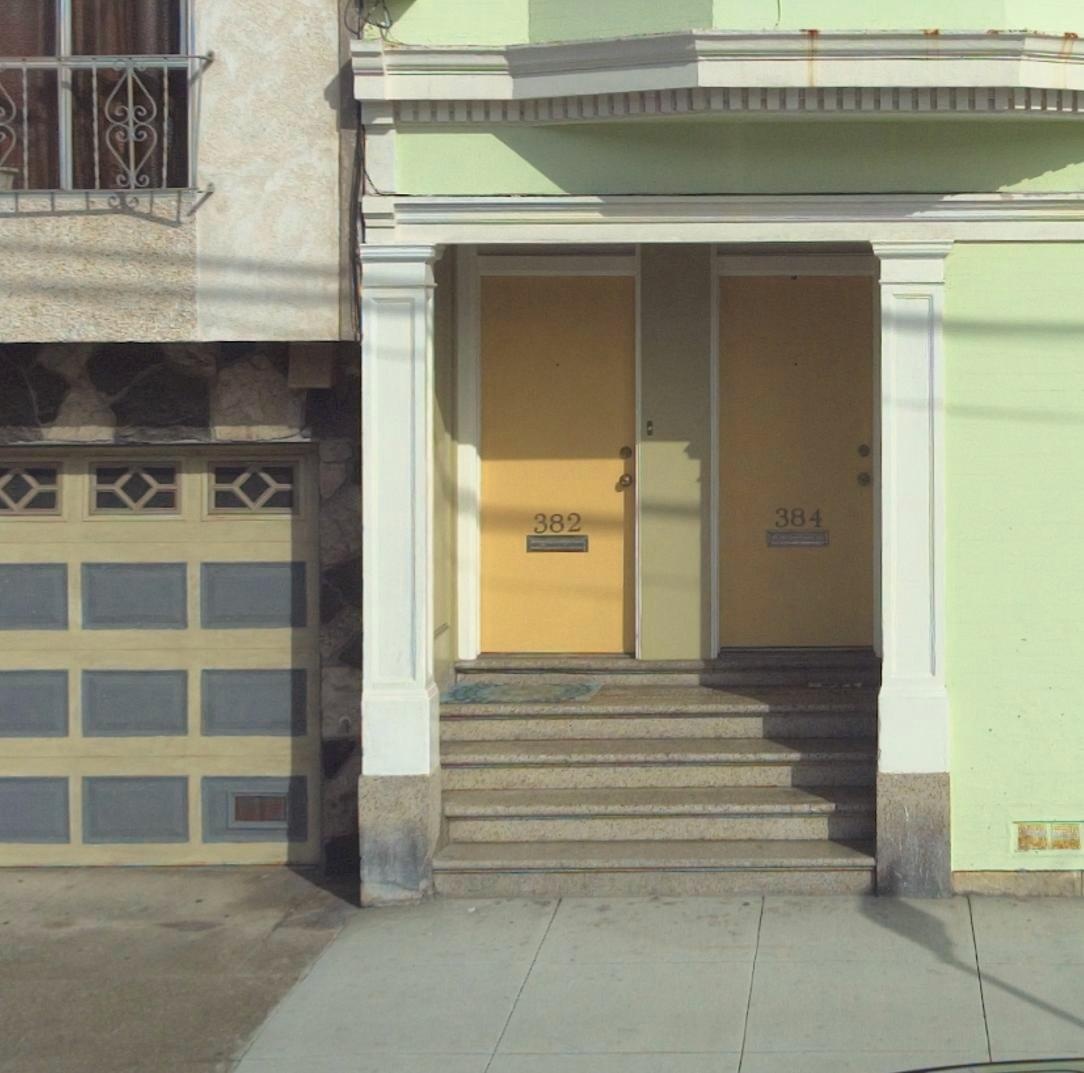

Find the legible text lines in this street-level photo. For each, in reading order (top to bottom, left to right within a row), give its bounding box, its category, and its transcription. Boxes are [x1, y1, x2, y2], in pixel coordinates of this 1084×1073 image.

[533, 511, 583, 535] StreetNumber: 382
[773, 506, 822, 529] StreetNumber: 384